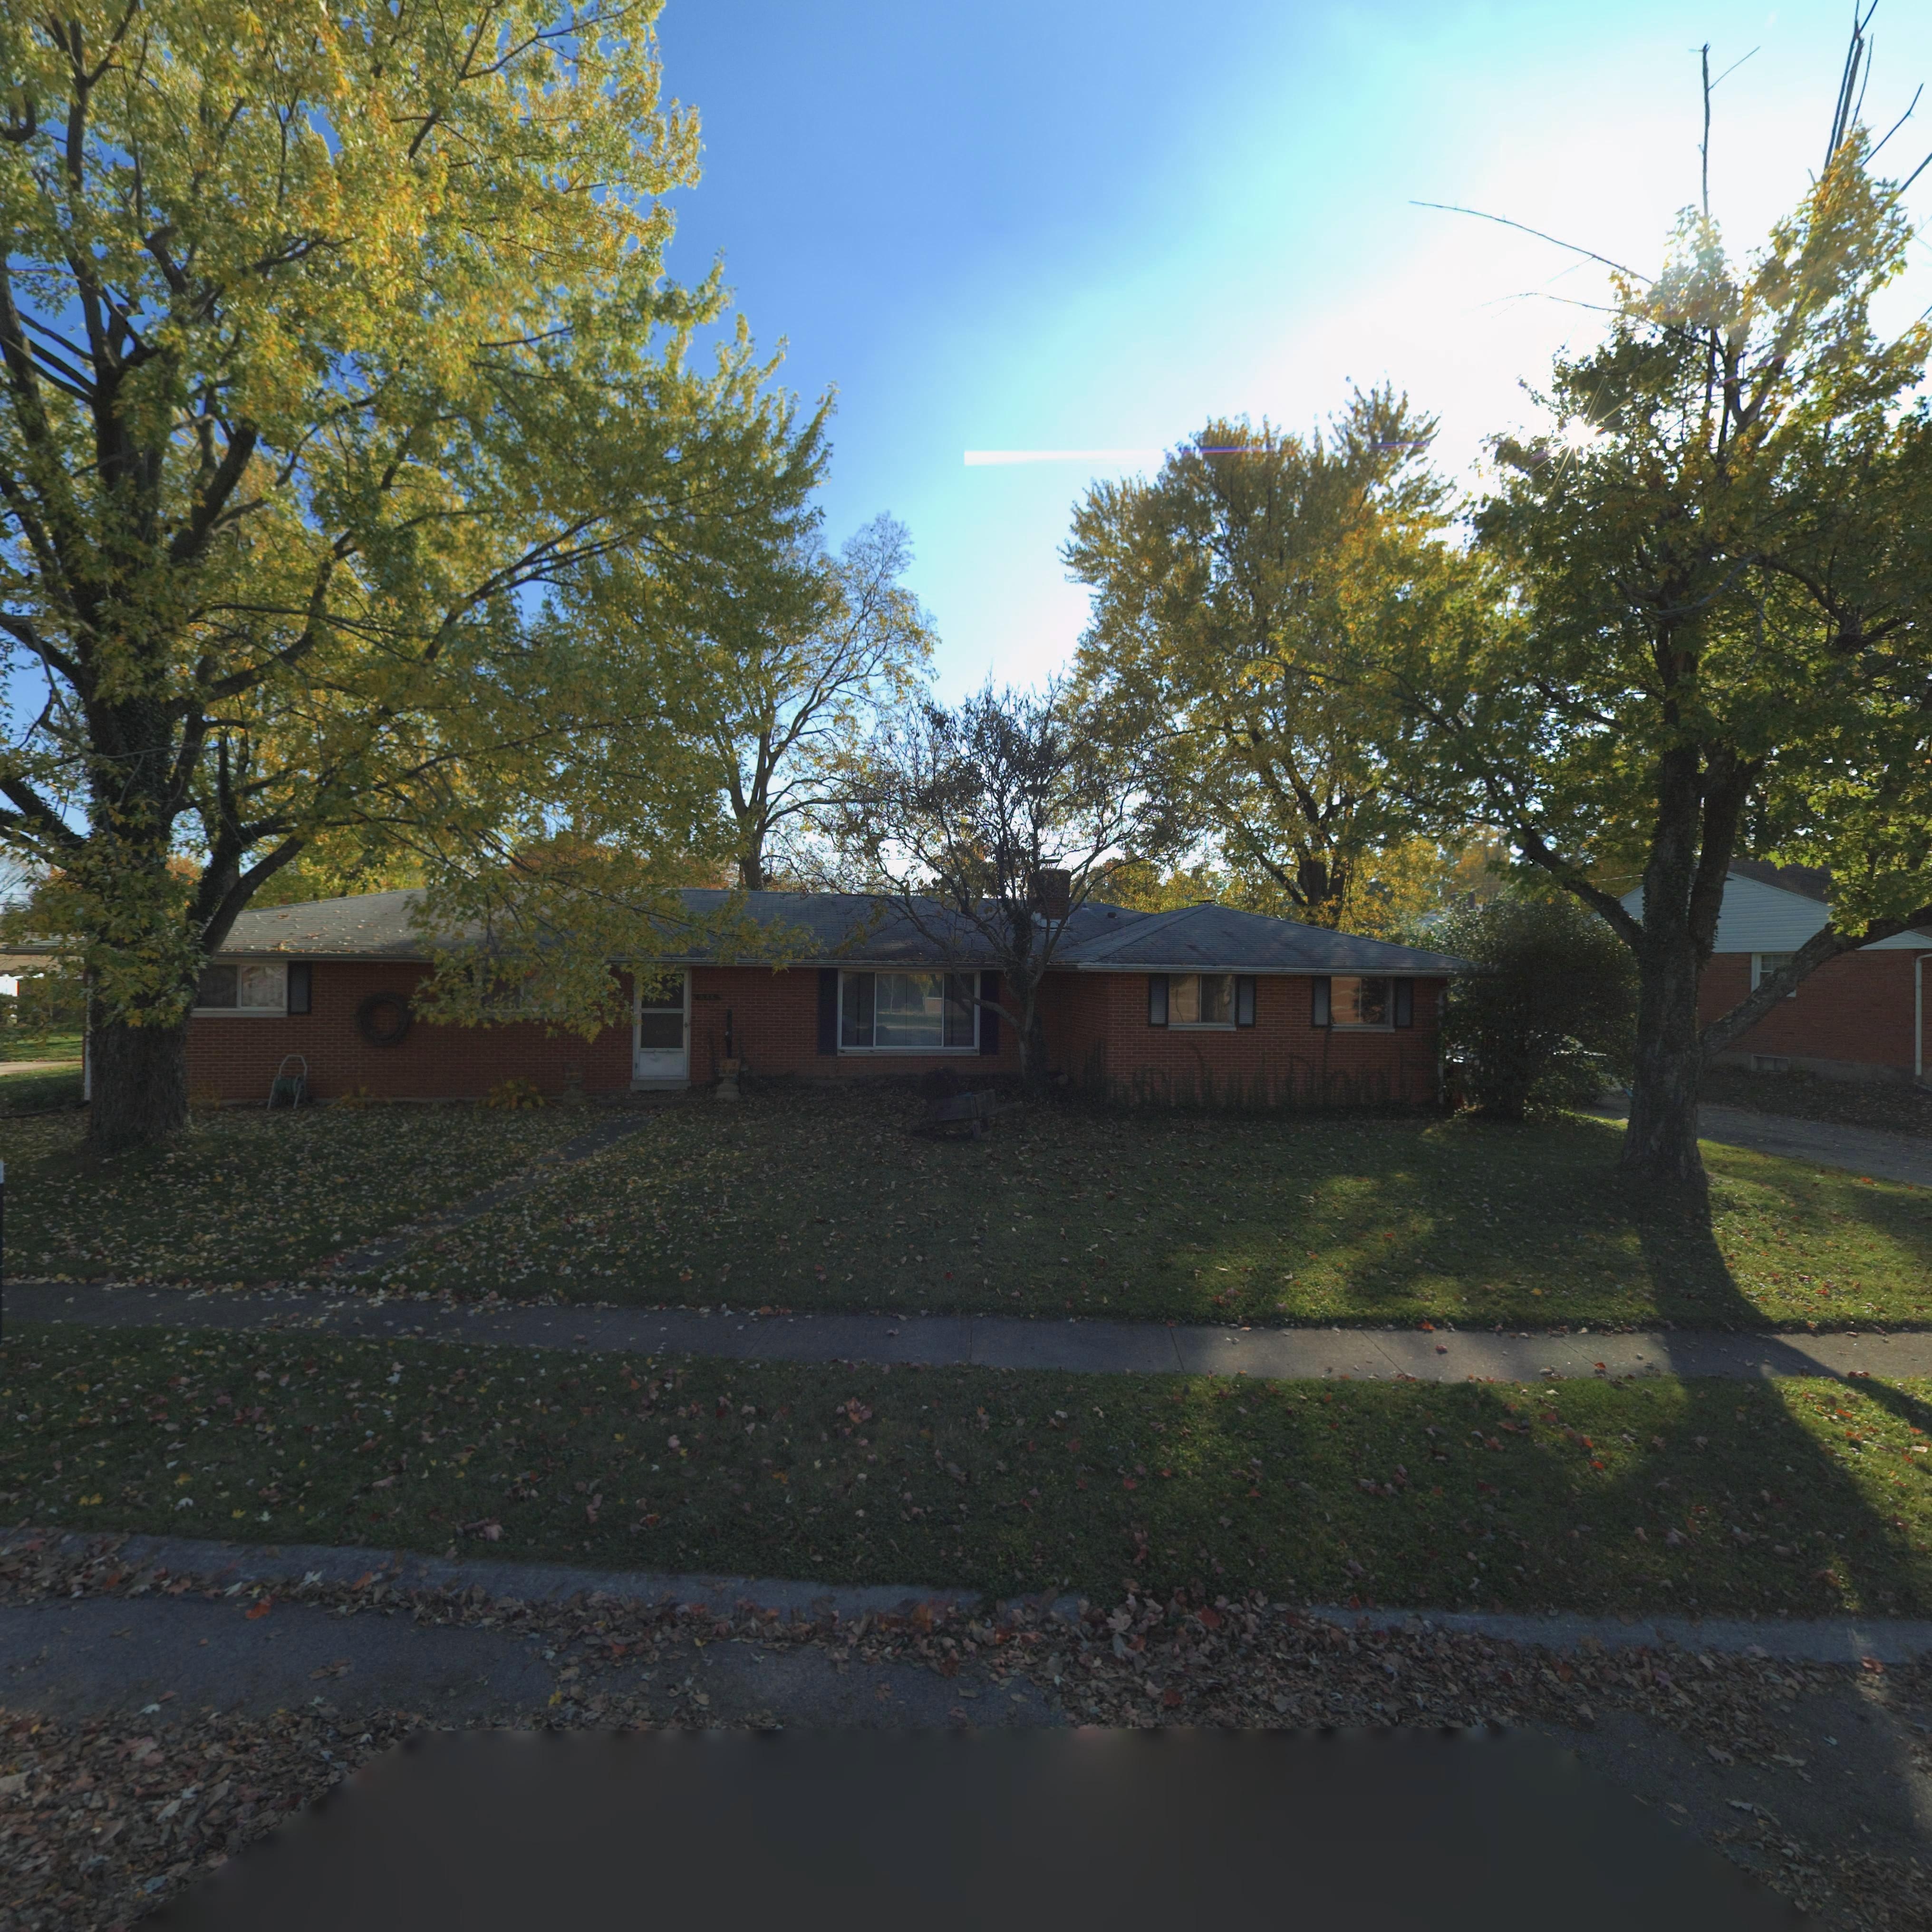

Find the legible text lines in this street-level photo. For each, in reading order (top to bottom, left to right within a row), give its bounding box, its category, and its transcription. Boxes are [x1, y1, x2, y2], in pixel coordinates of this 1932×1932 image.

[699, 994, 715, 1000] StreetNumber: 64*